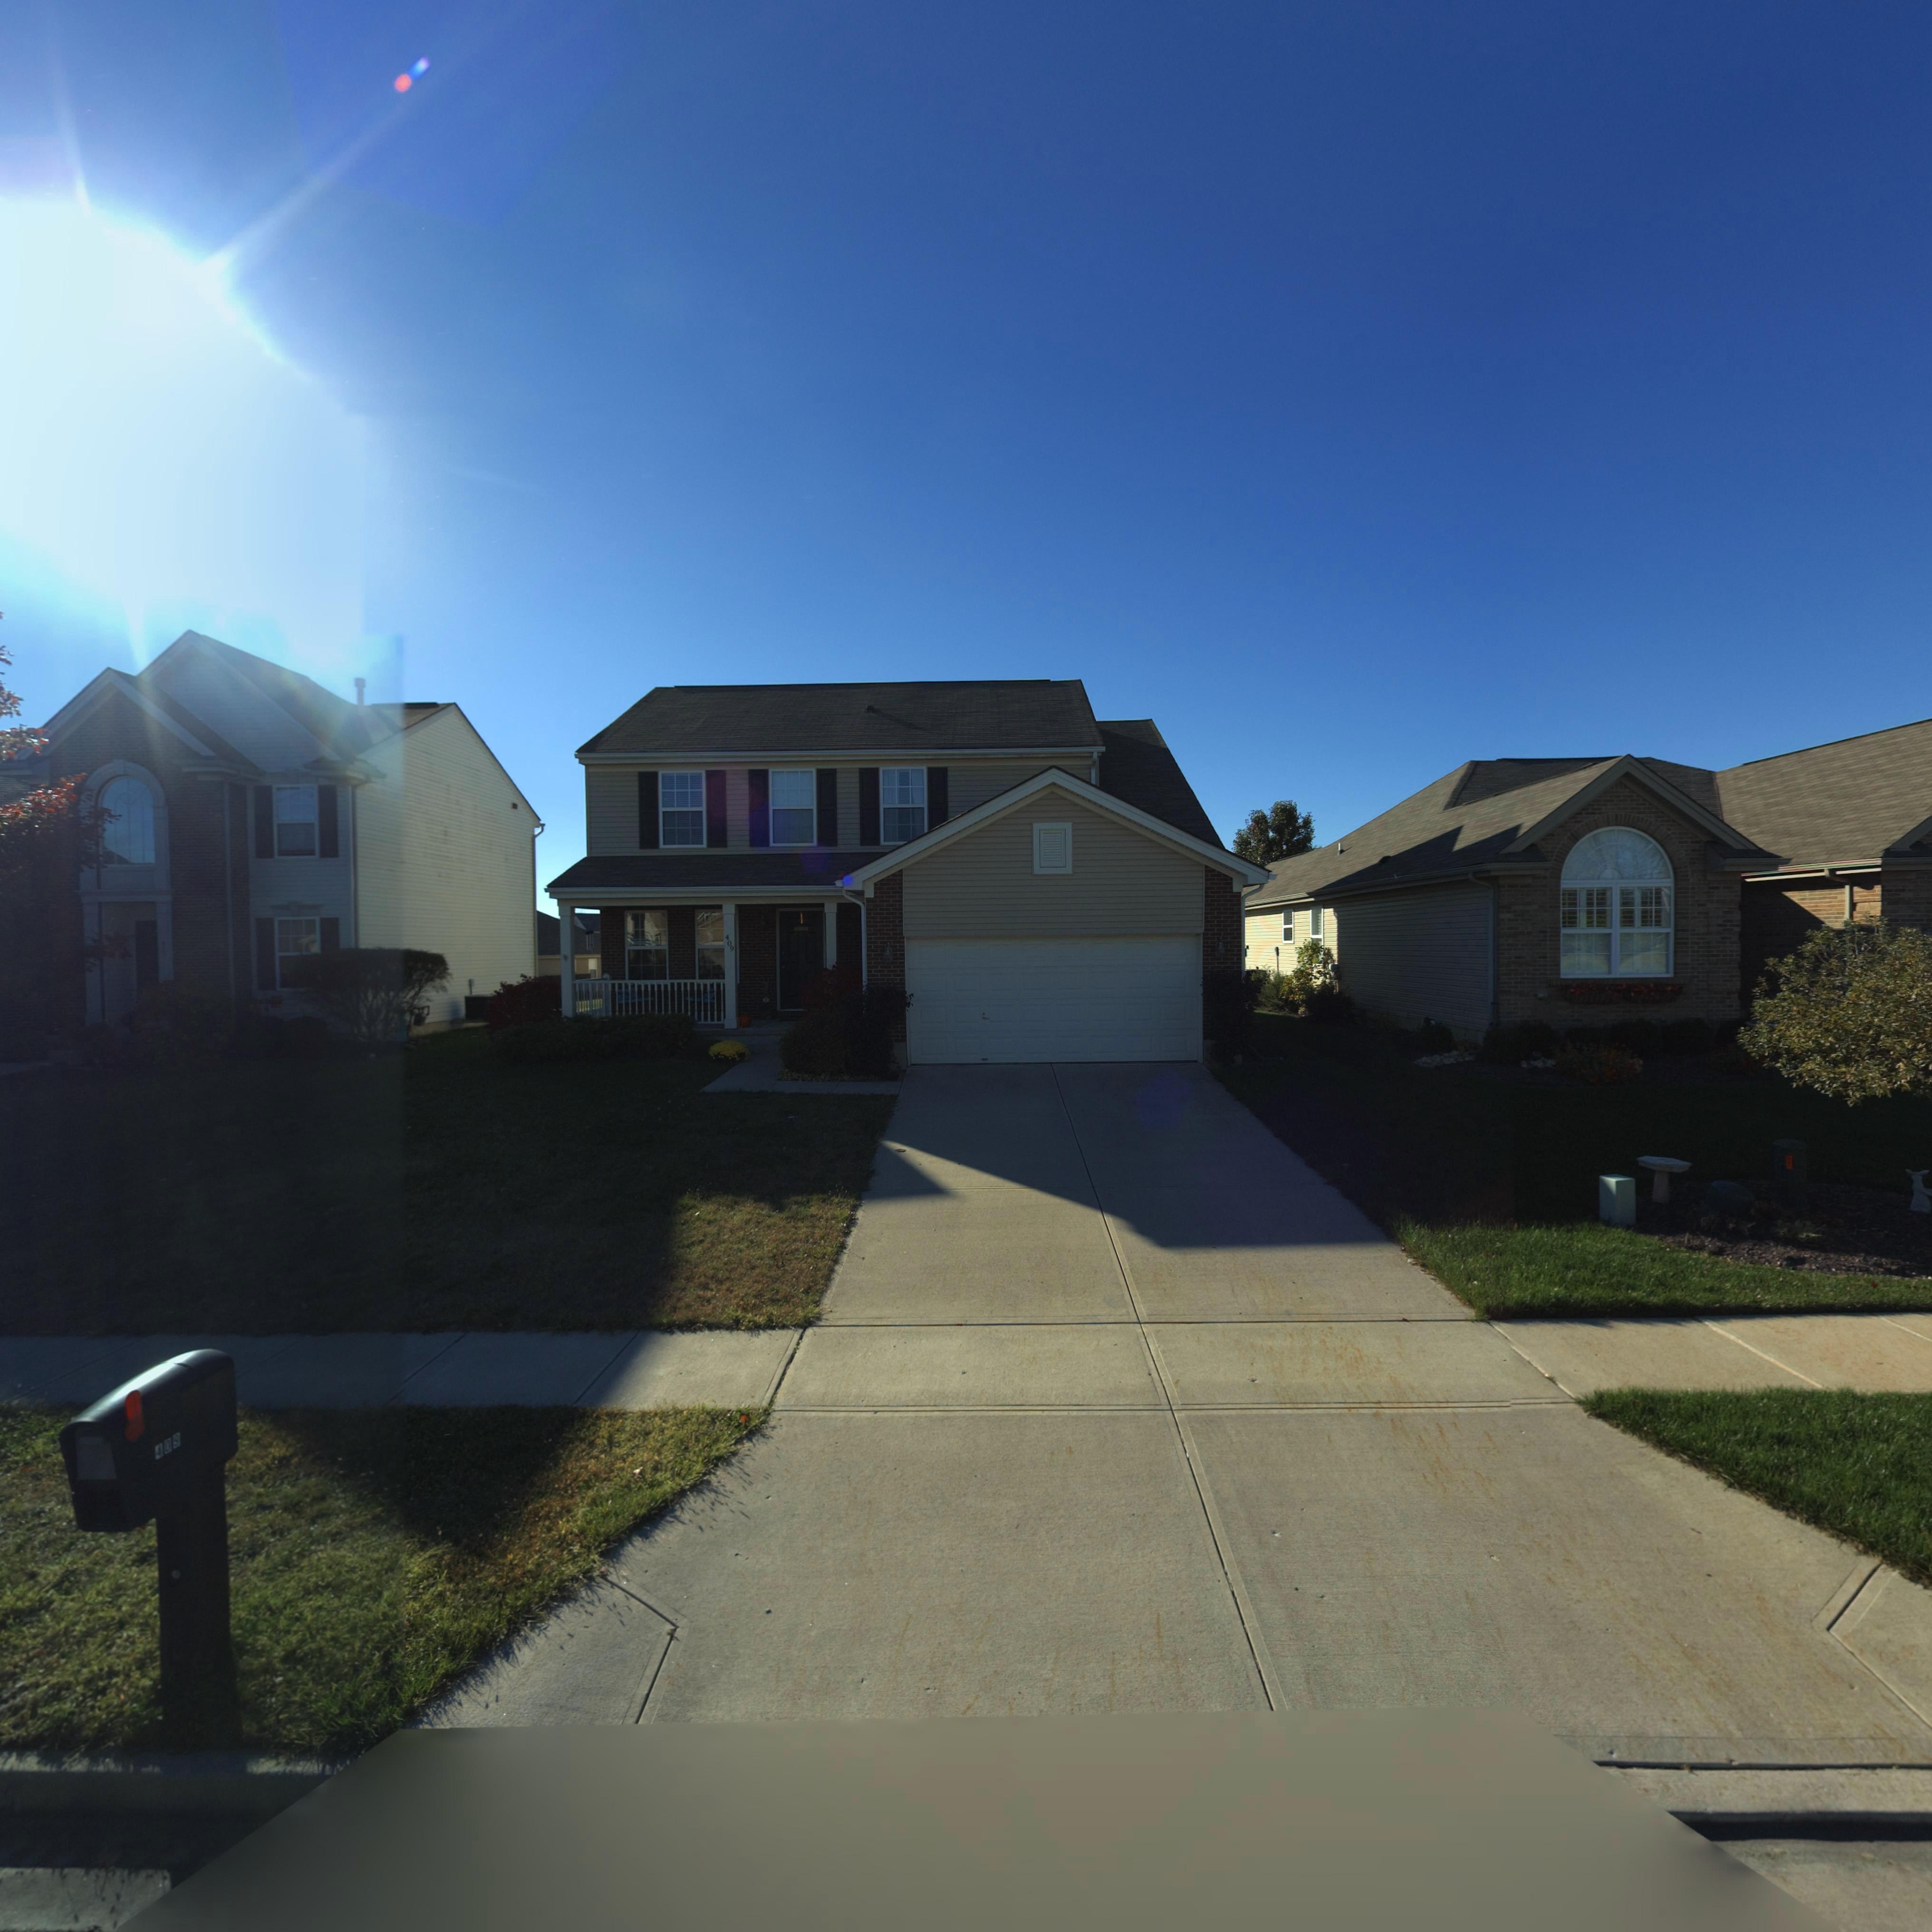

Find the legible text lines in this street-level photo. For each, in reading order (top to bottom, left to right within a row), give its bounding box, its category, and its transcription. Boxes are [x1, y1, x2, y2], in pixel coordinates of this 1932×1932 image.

[724, 934, 734, 953] StreetNumber: 409
[155, 1432, 180, 1459] StreetNumber: 409